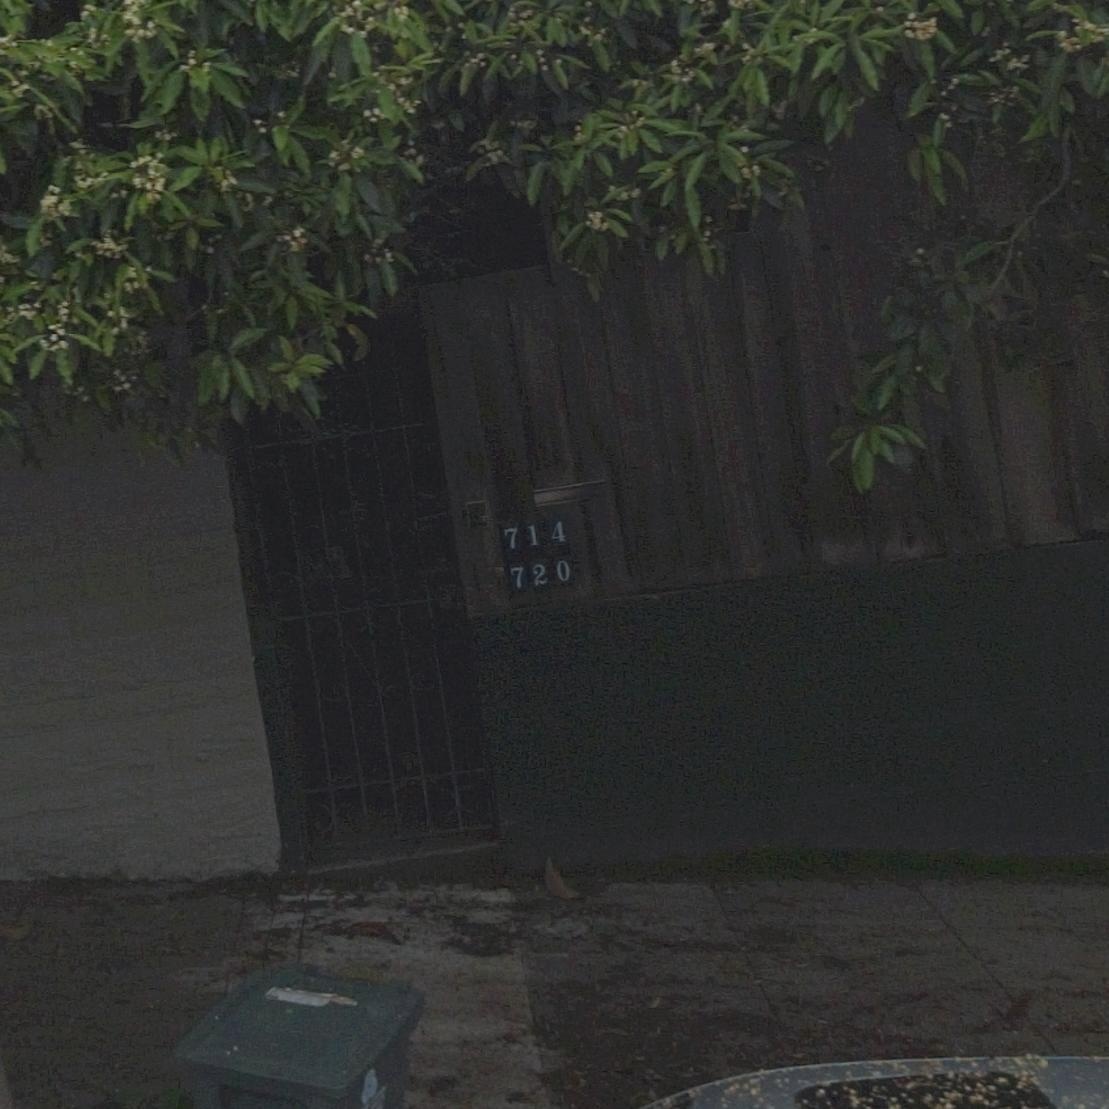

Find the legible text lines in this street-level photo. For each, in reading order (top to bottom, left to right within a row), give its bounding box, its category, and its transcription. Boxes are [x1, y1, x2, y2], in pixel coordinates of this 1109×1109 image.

[499, 520, 569, 551] StreetNumber: 714
[507, 558, 574, 589] StreetNumber: 720